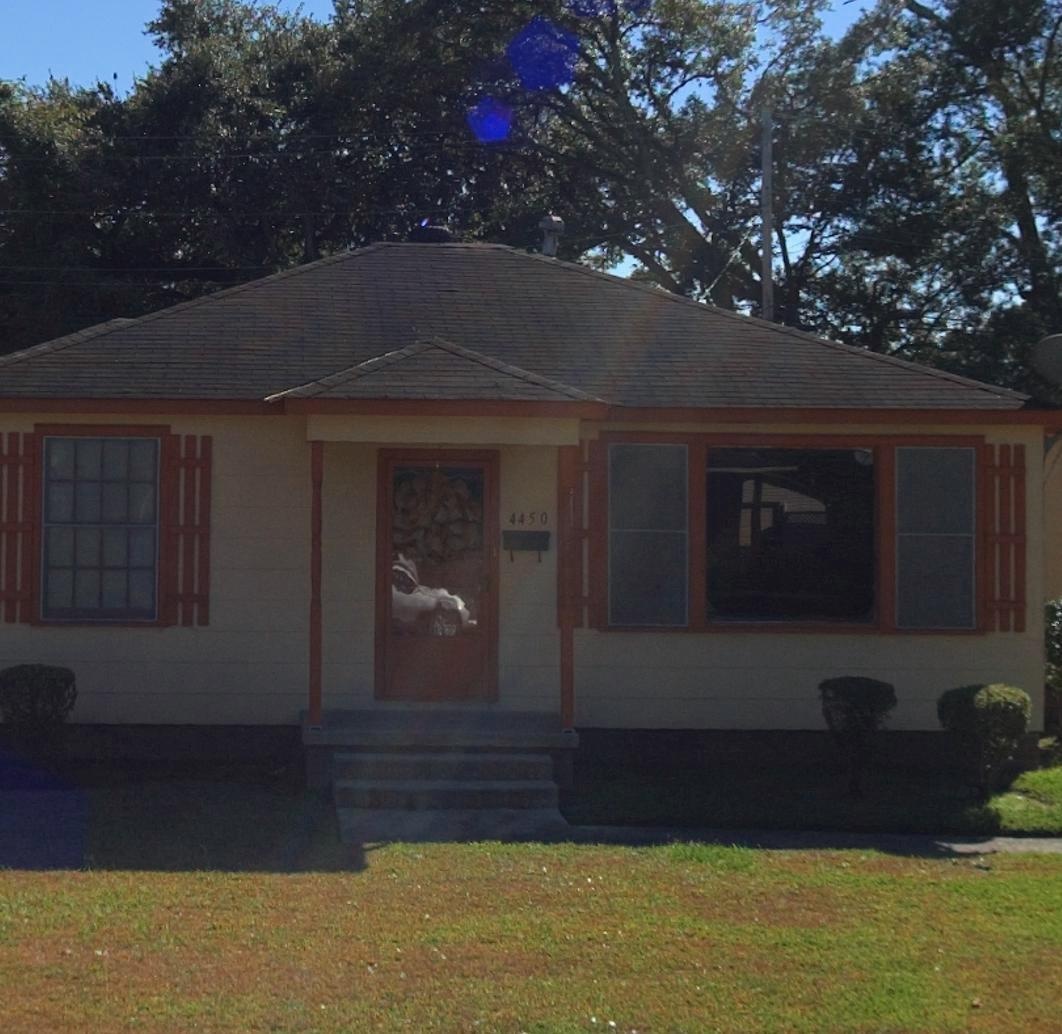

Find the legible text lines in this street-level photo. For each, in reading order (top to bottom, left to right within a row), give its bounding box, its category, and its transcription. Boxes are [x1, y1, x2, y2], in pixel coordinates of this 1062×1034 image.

[508, 510, 549, 527] StreetNumber: 4450